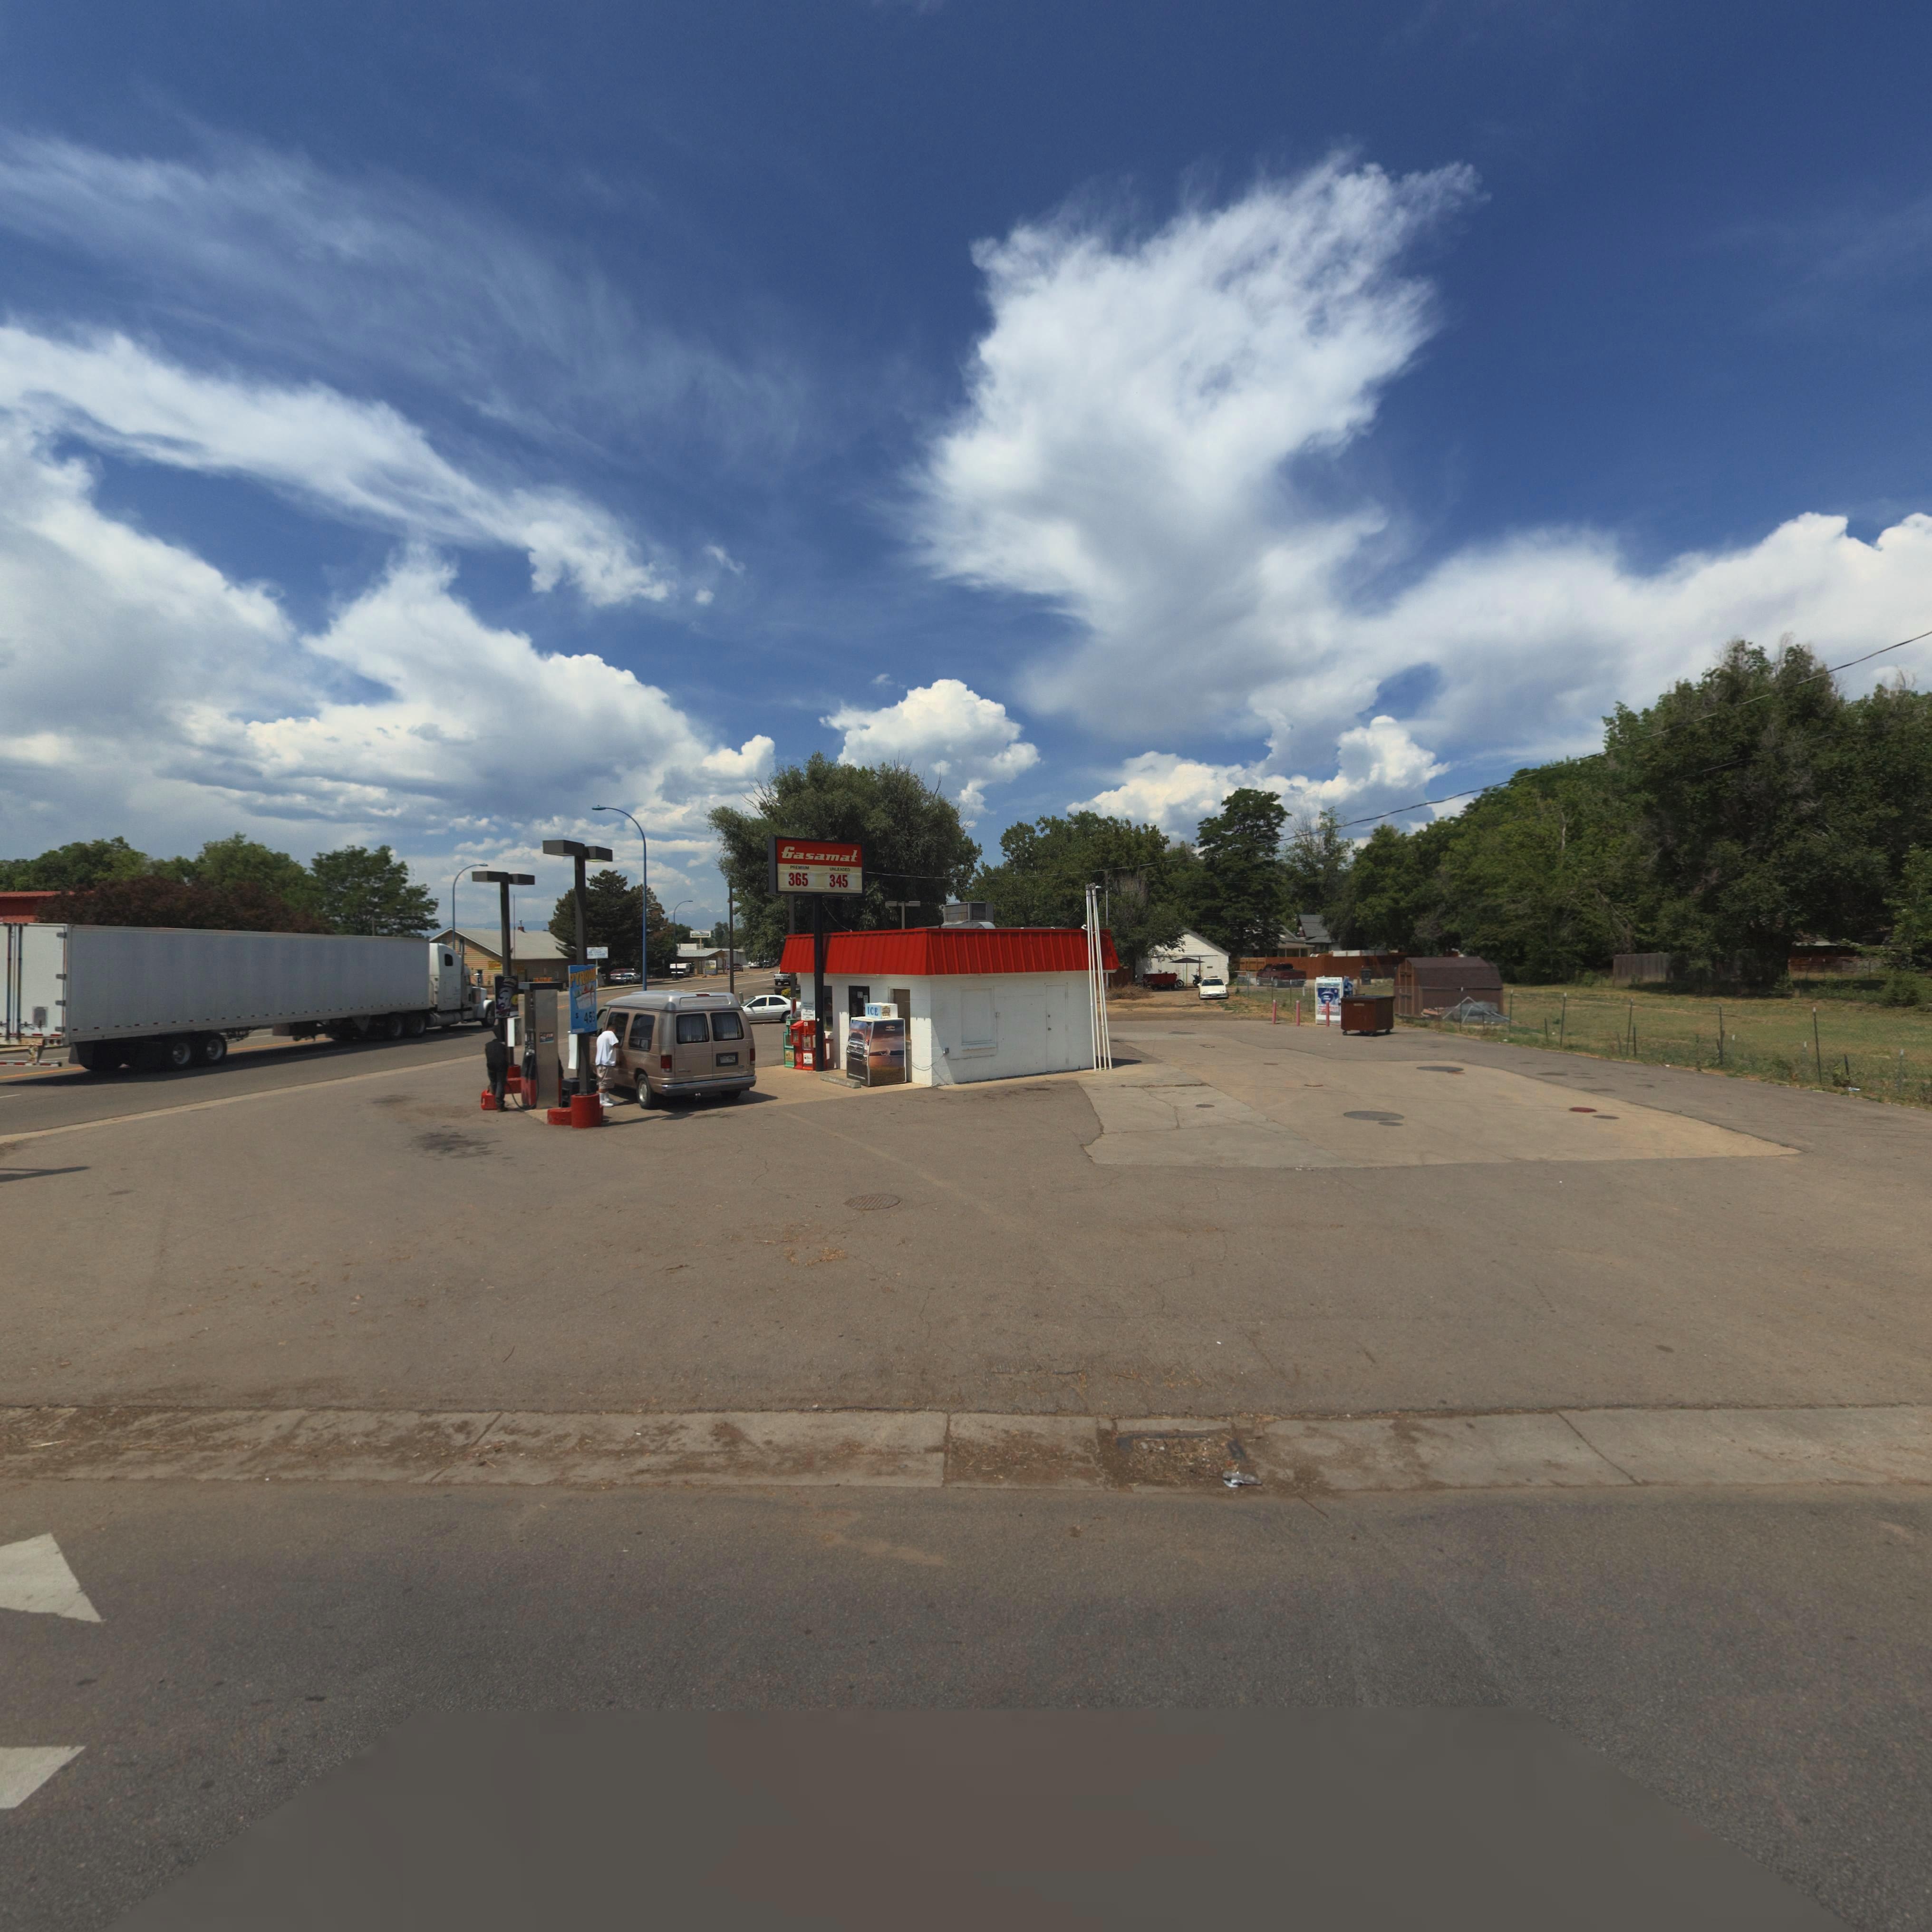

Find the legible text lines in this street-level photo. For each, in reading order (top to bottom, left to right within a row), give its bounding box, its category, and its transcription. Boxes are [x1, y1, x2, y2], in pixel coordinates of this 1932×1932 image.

[781, 846, 858, 862] BusinessName: Gasamat
[857, 992, 863, 997] StreetNumber: 30*